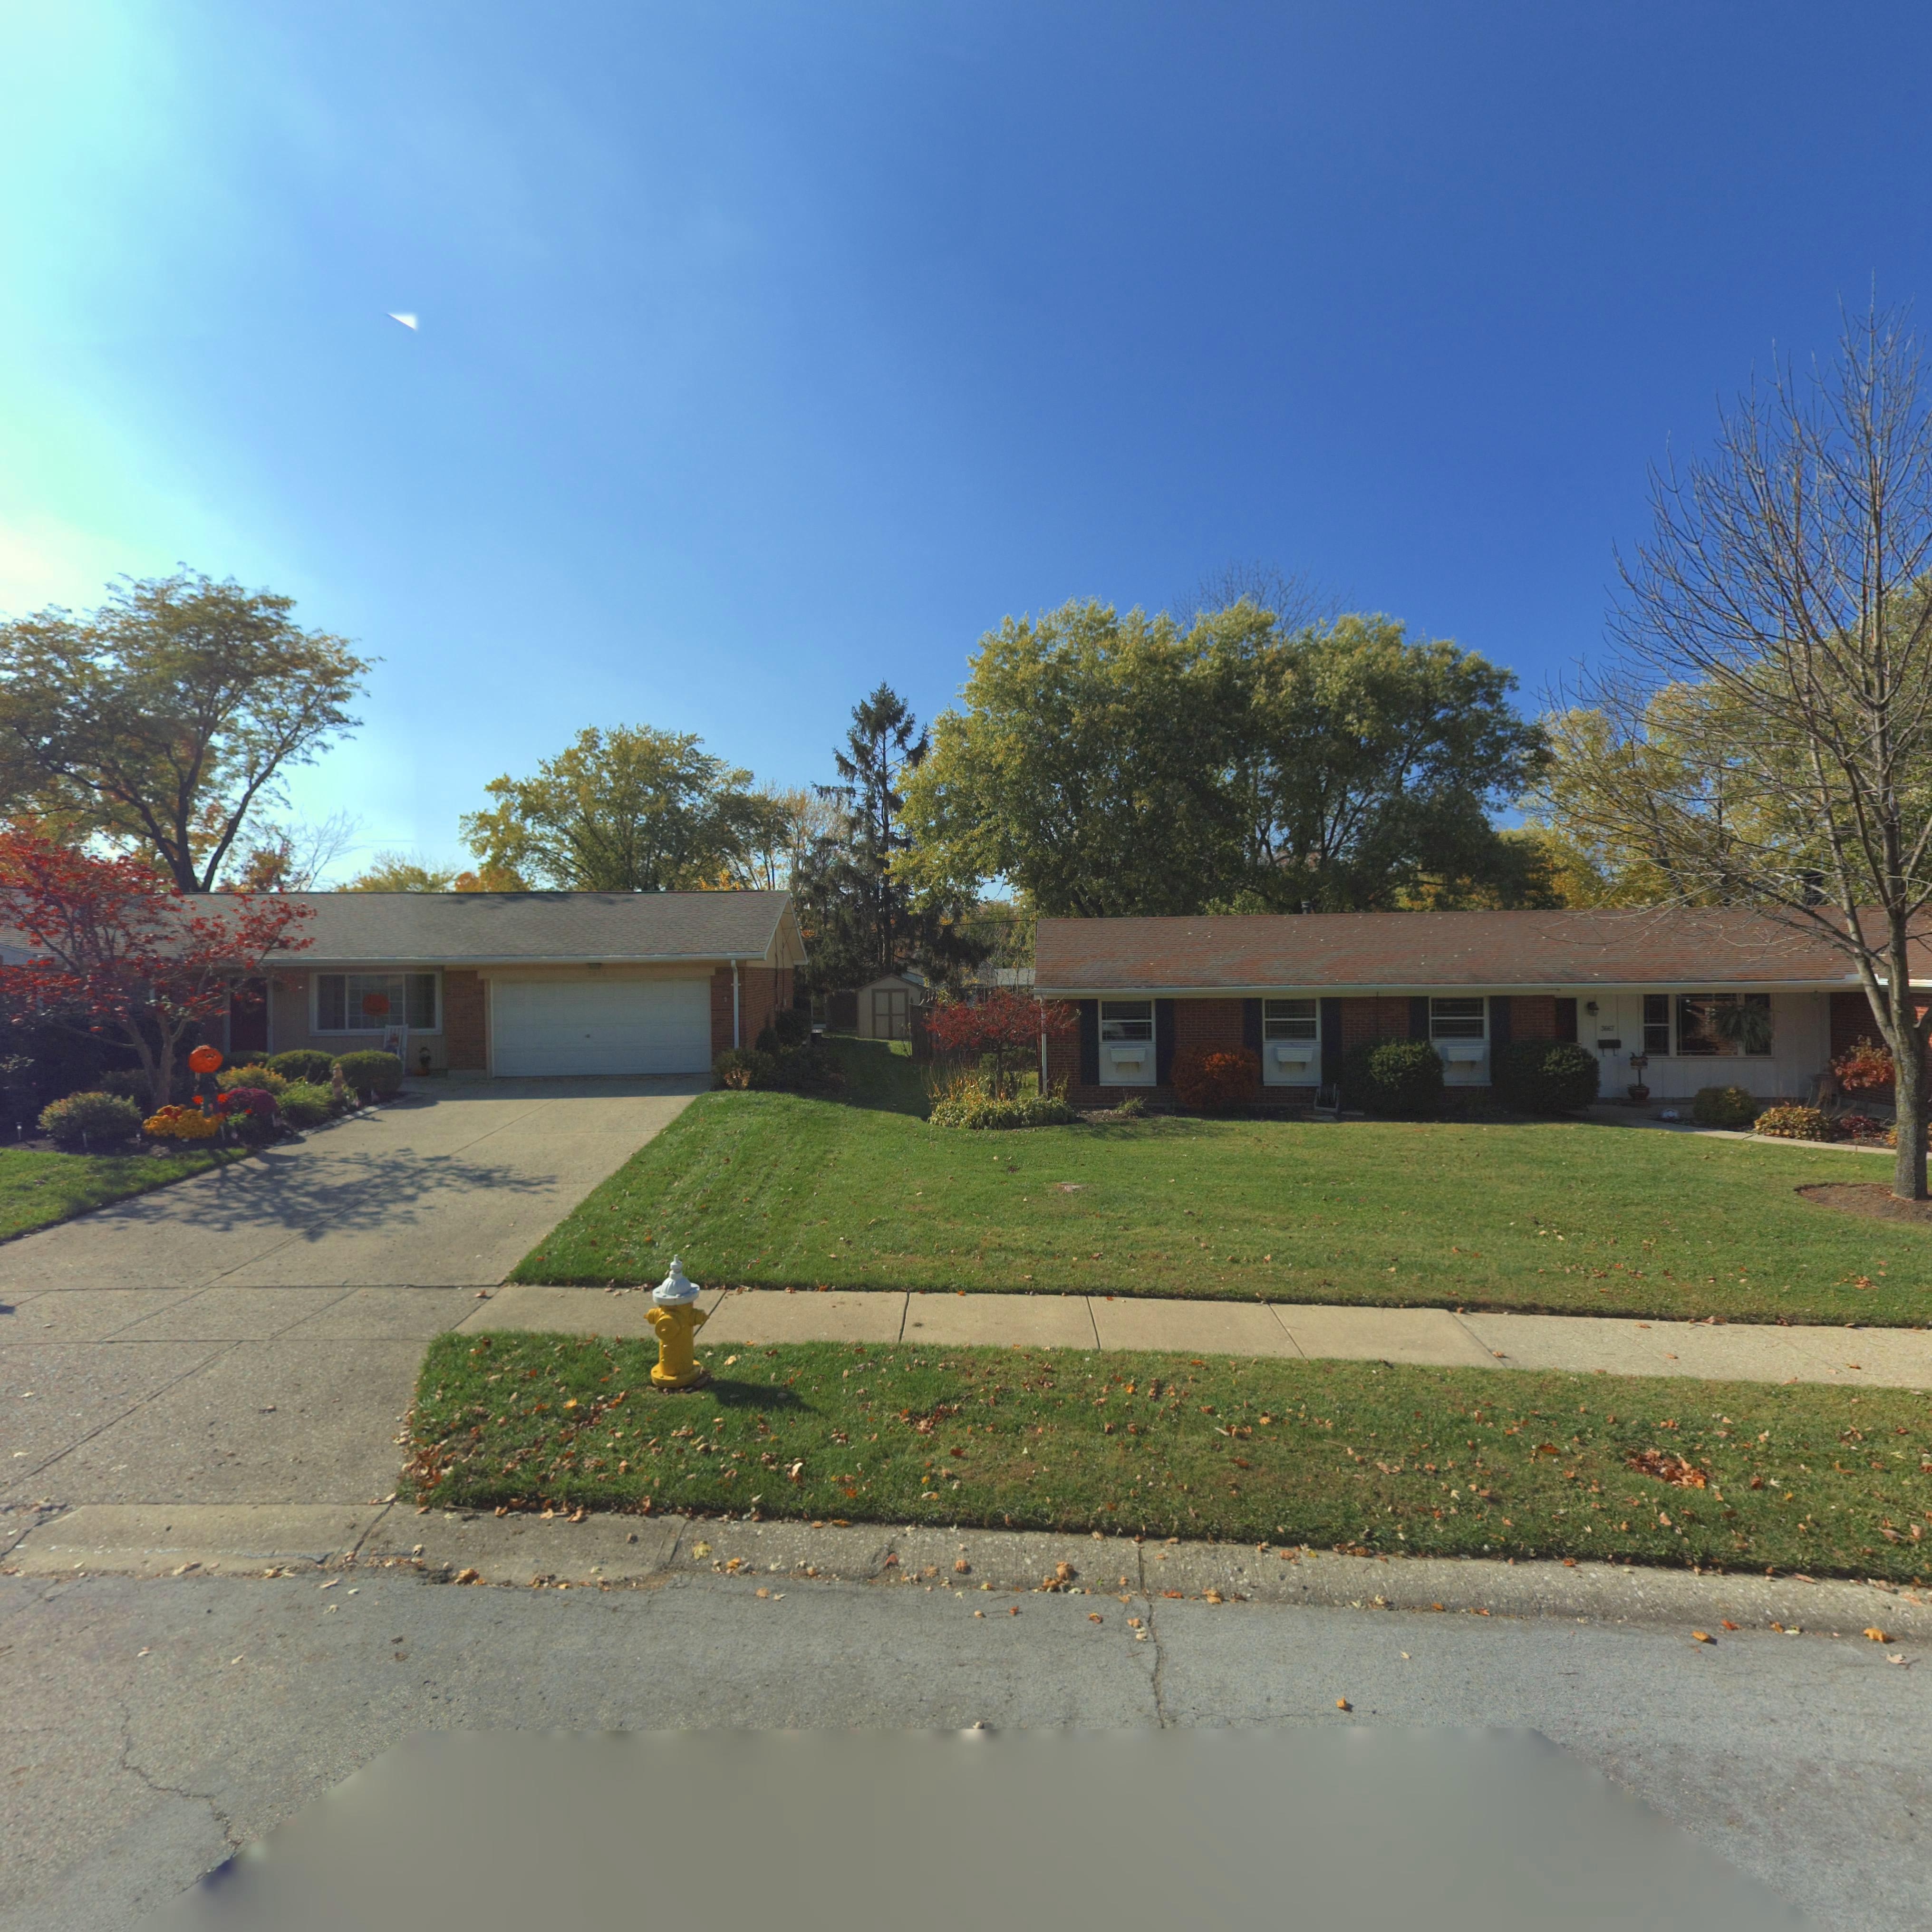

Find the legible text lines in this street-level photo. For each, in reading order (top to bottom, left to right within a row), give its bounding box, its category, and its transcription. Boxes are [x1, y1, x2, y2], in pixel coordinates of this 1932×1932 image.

[587, 969, 607, 977] StreetNumber: 3***
[1600, 1025, 1615, 1032] StreetNumber: 3667